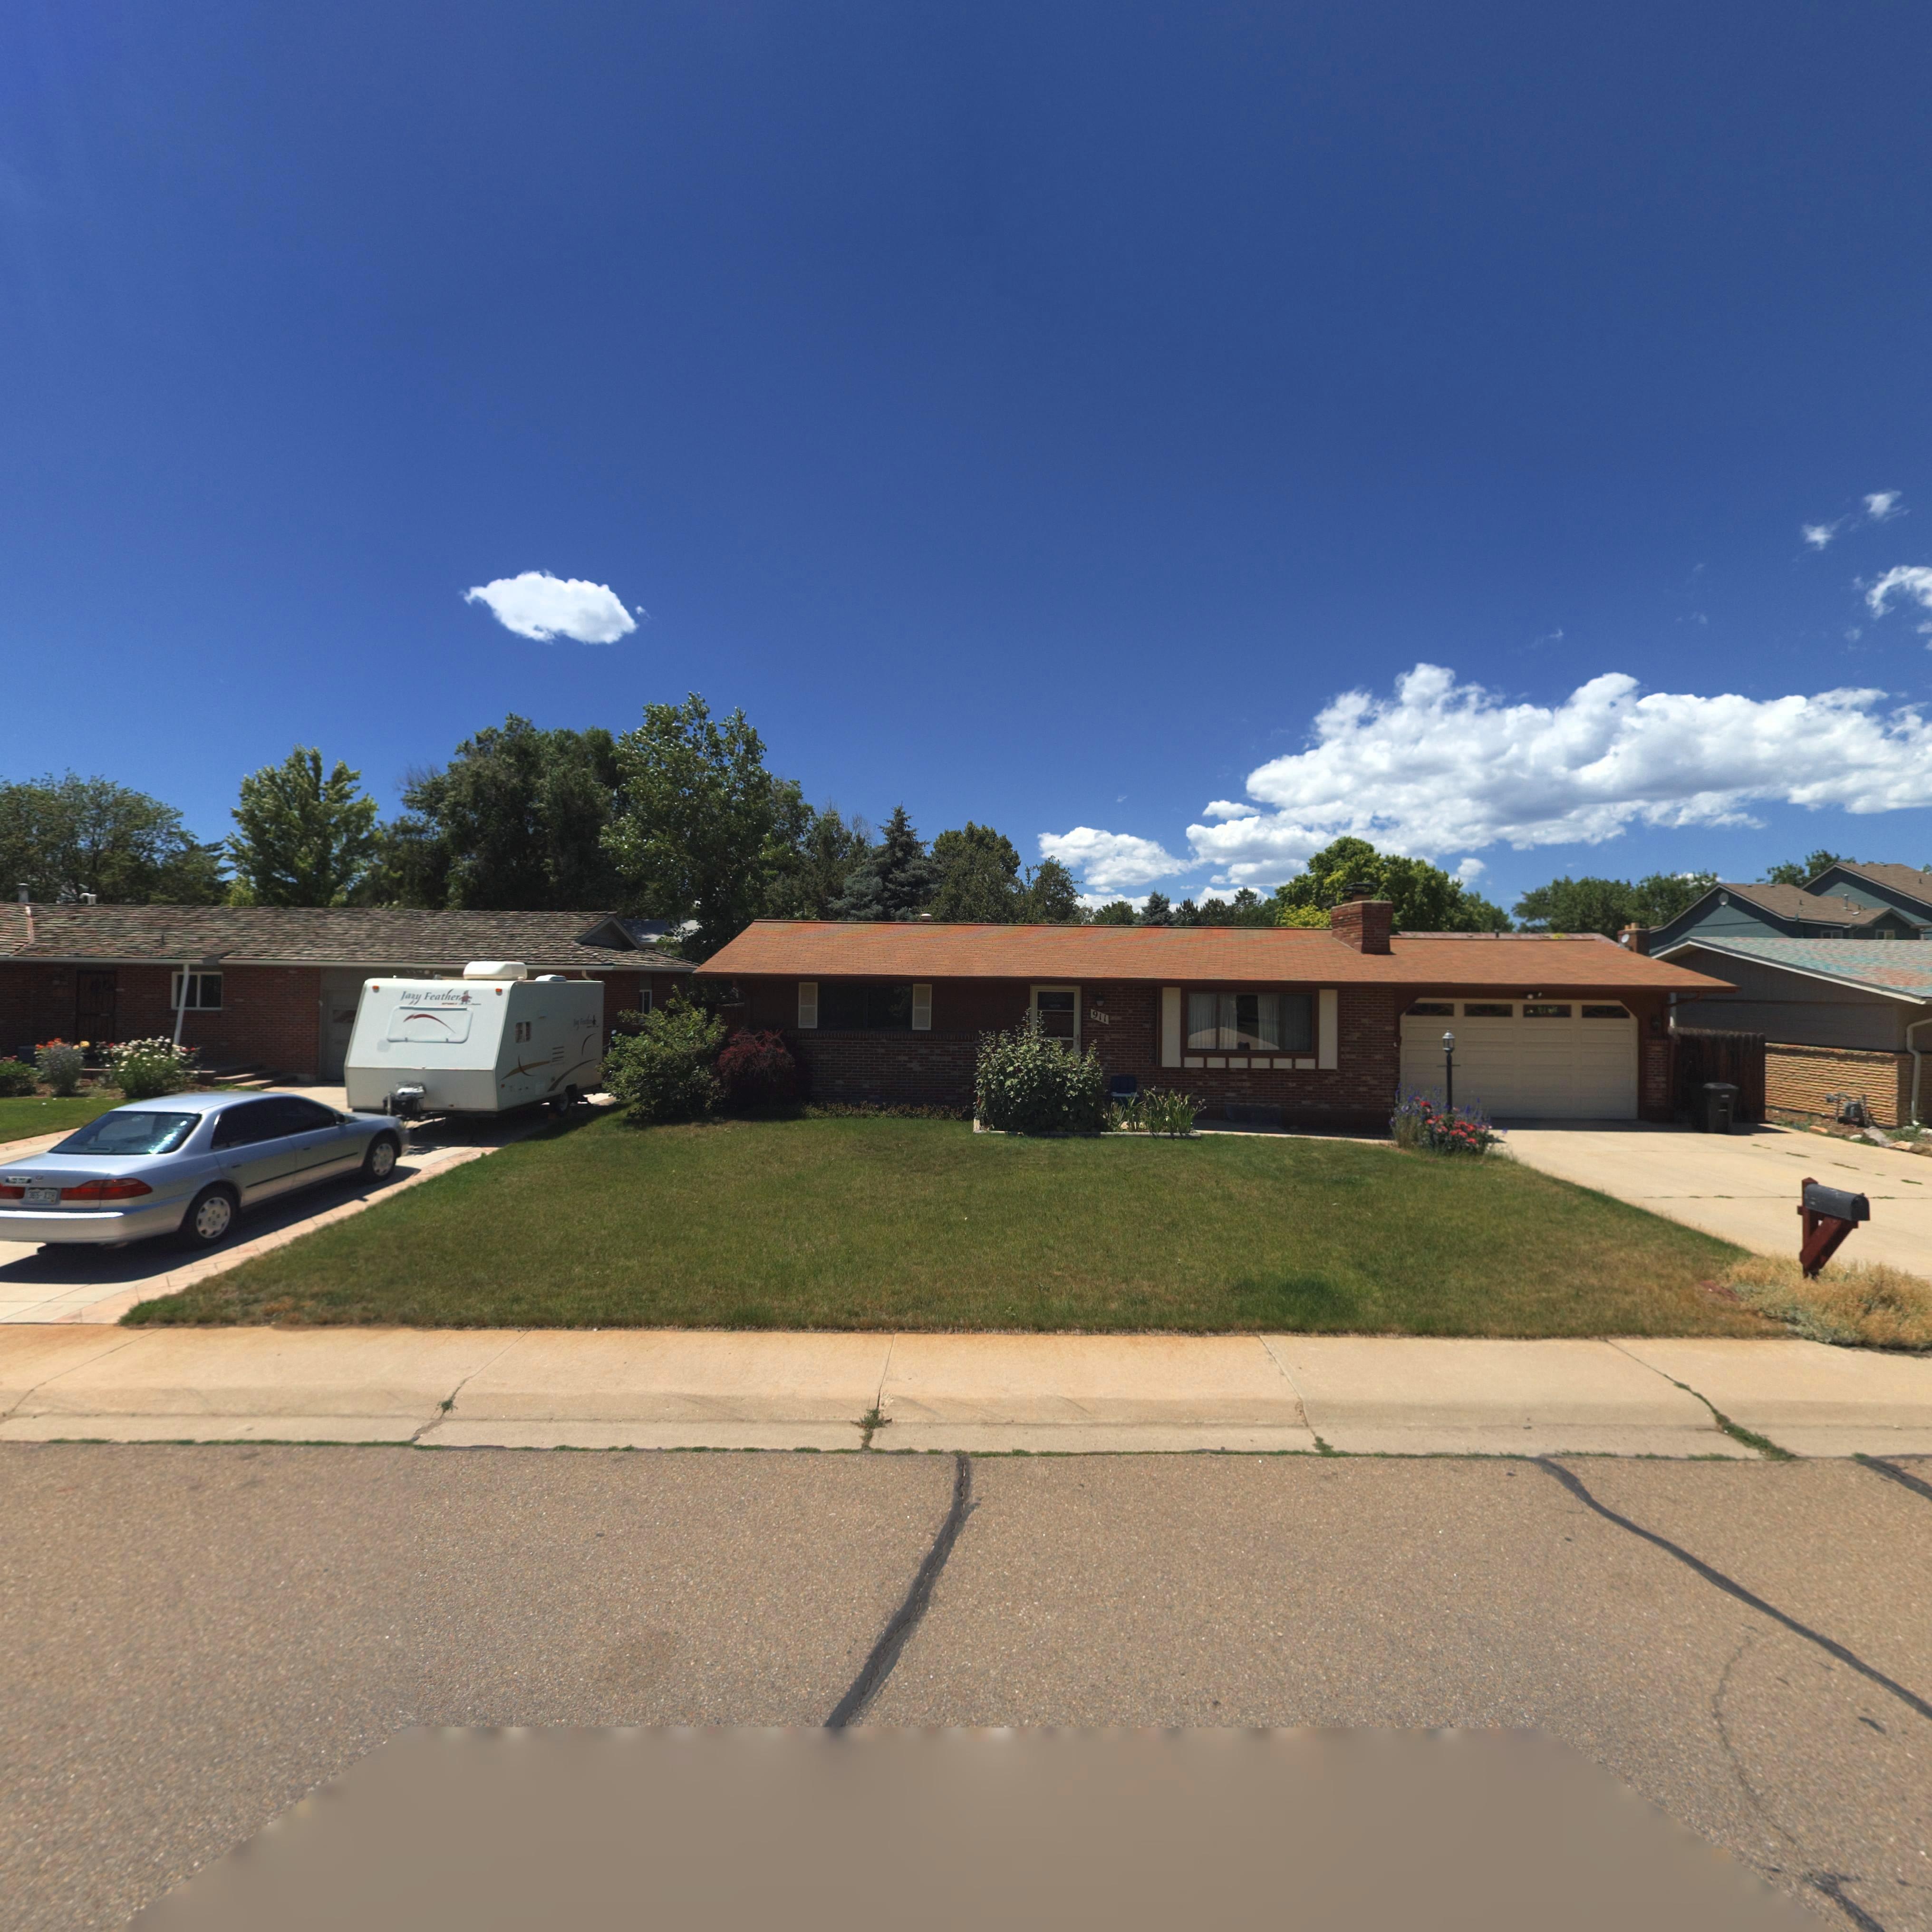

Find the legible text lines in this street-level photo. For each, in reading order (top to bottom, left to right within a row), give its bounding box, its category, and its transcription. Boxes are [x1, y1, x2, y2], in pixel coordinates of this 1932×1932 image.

[1092, 1010, 1106, 1023] StreetNumber: 911